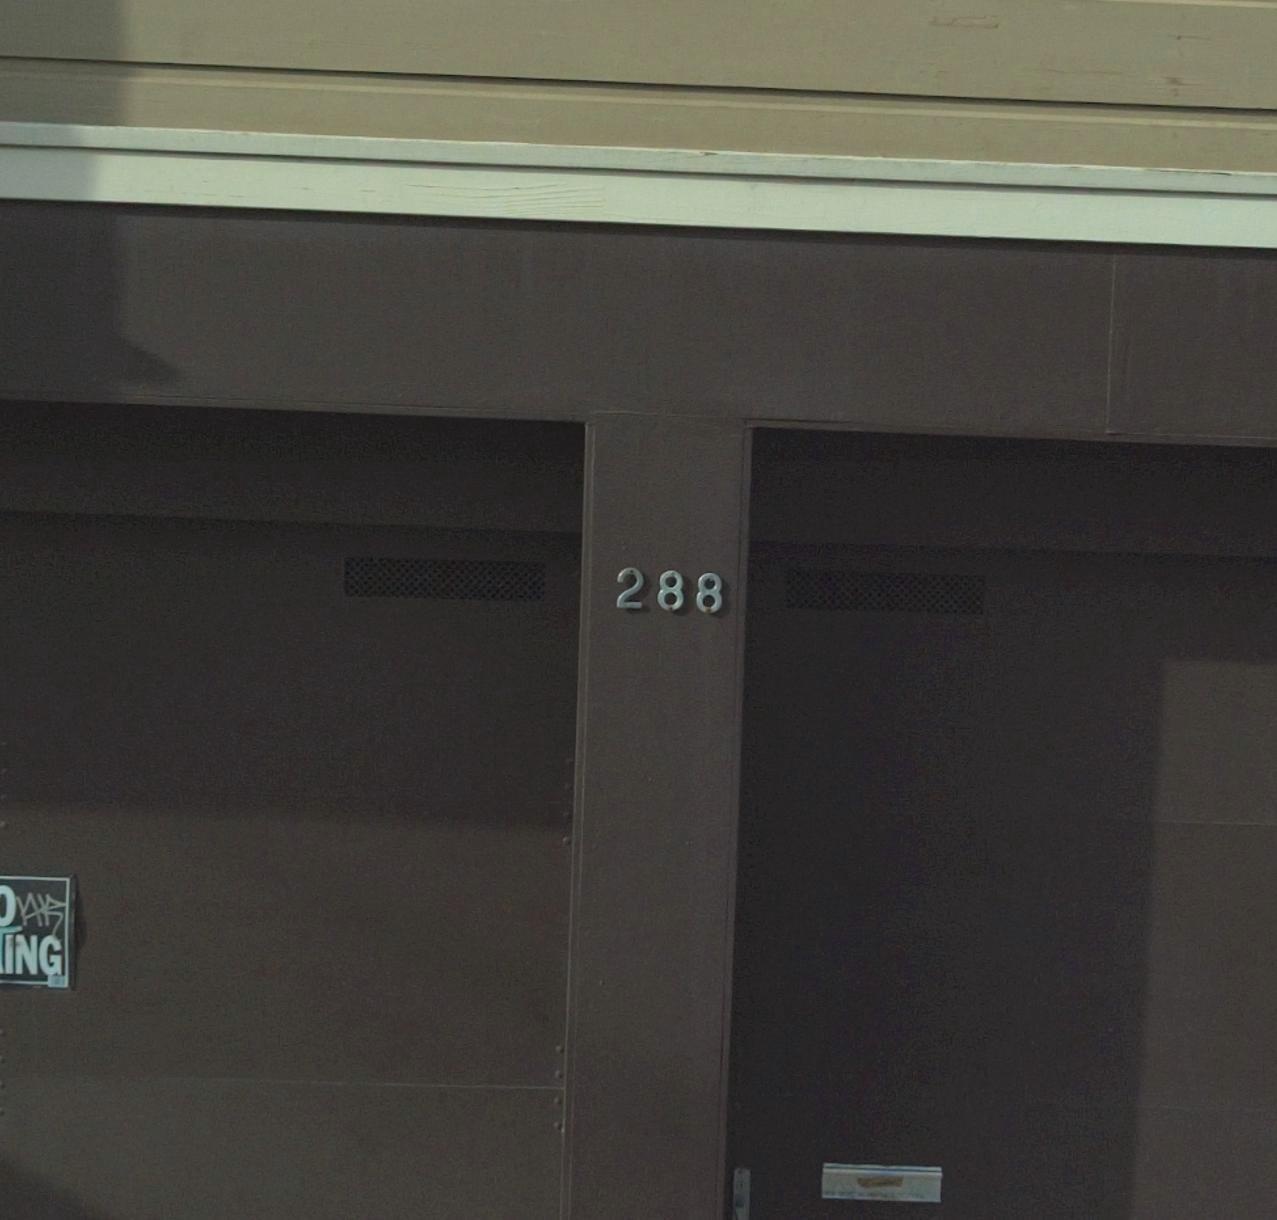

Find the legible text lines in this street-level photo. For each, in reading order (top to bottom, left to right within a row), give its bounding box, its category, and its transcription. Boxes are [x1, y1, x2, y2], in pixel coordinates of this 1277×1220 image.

[611, 563, 729, 616] StreetNumber: 288
[2, 931, 64, 979] None: ING